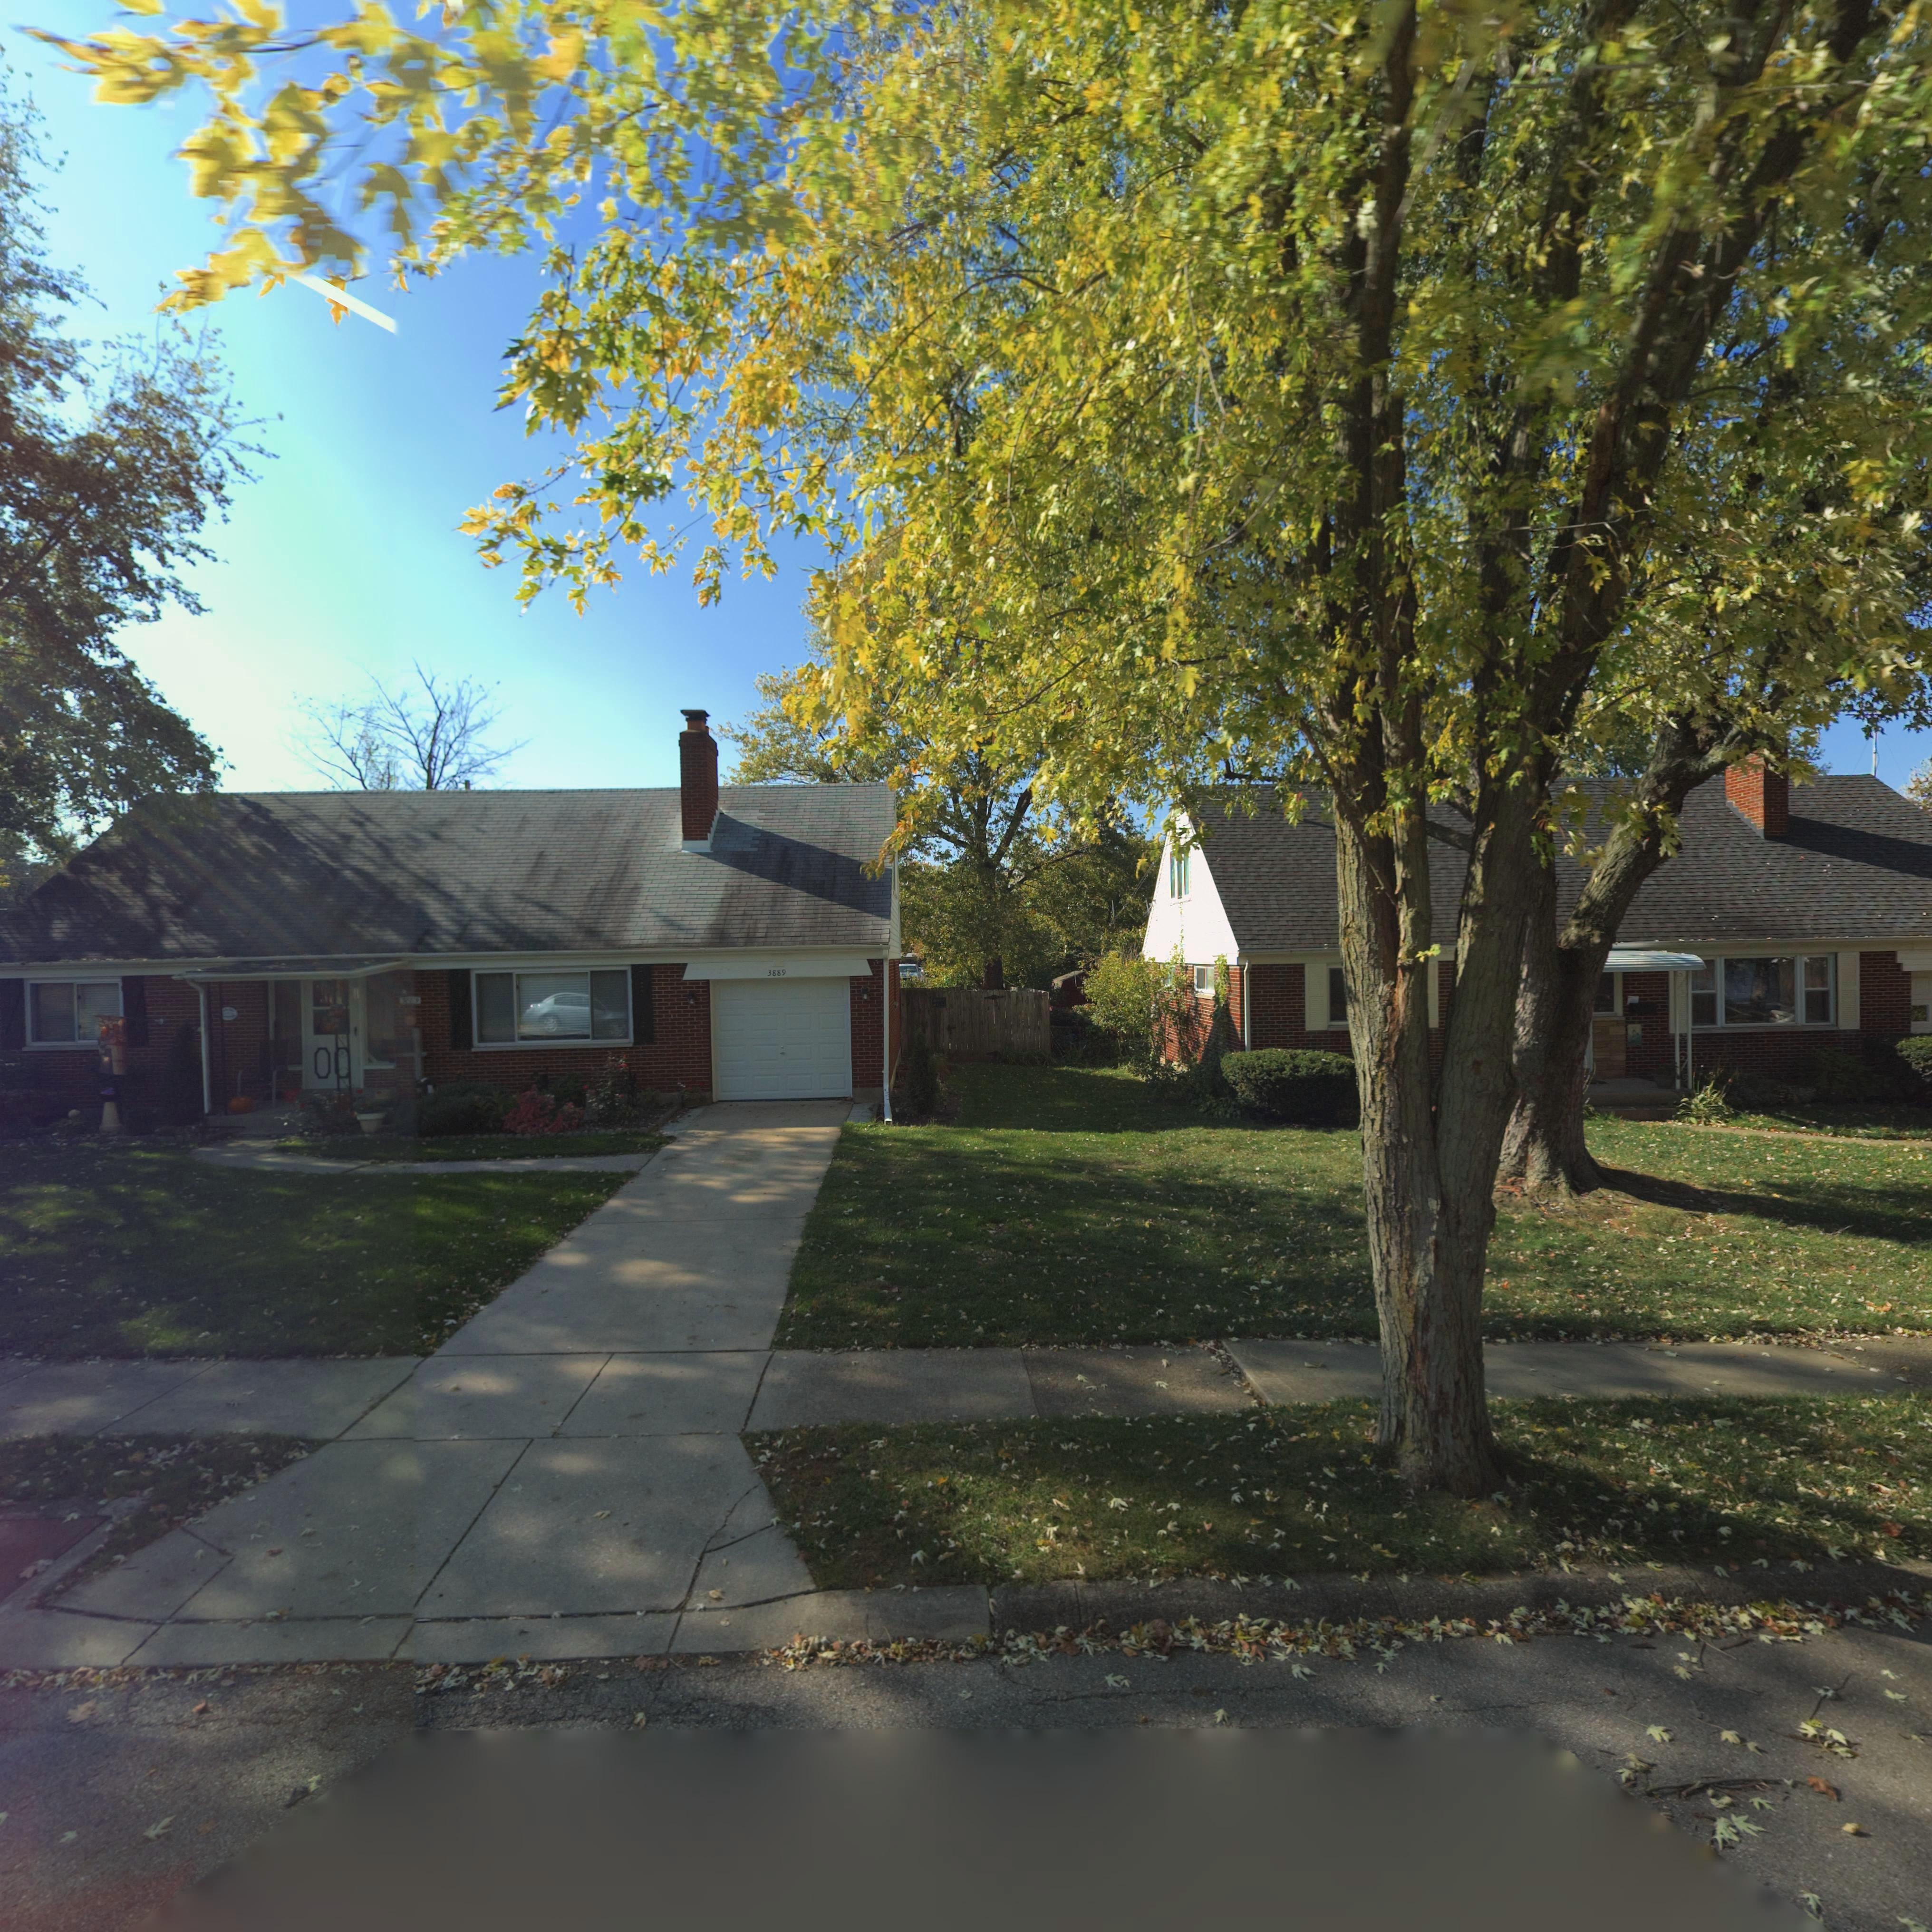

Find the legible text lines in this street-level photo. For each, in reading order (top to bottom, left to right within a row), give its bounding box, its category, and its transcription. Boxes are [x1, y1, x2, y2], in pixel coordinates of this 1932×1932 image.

[767, 969, 786, 976] StreetNumber: 3889